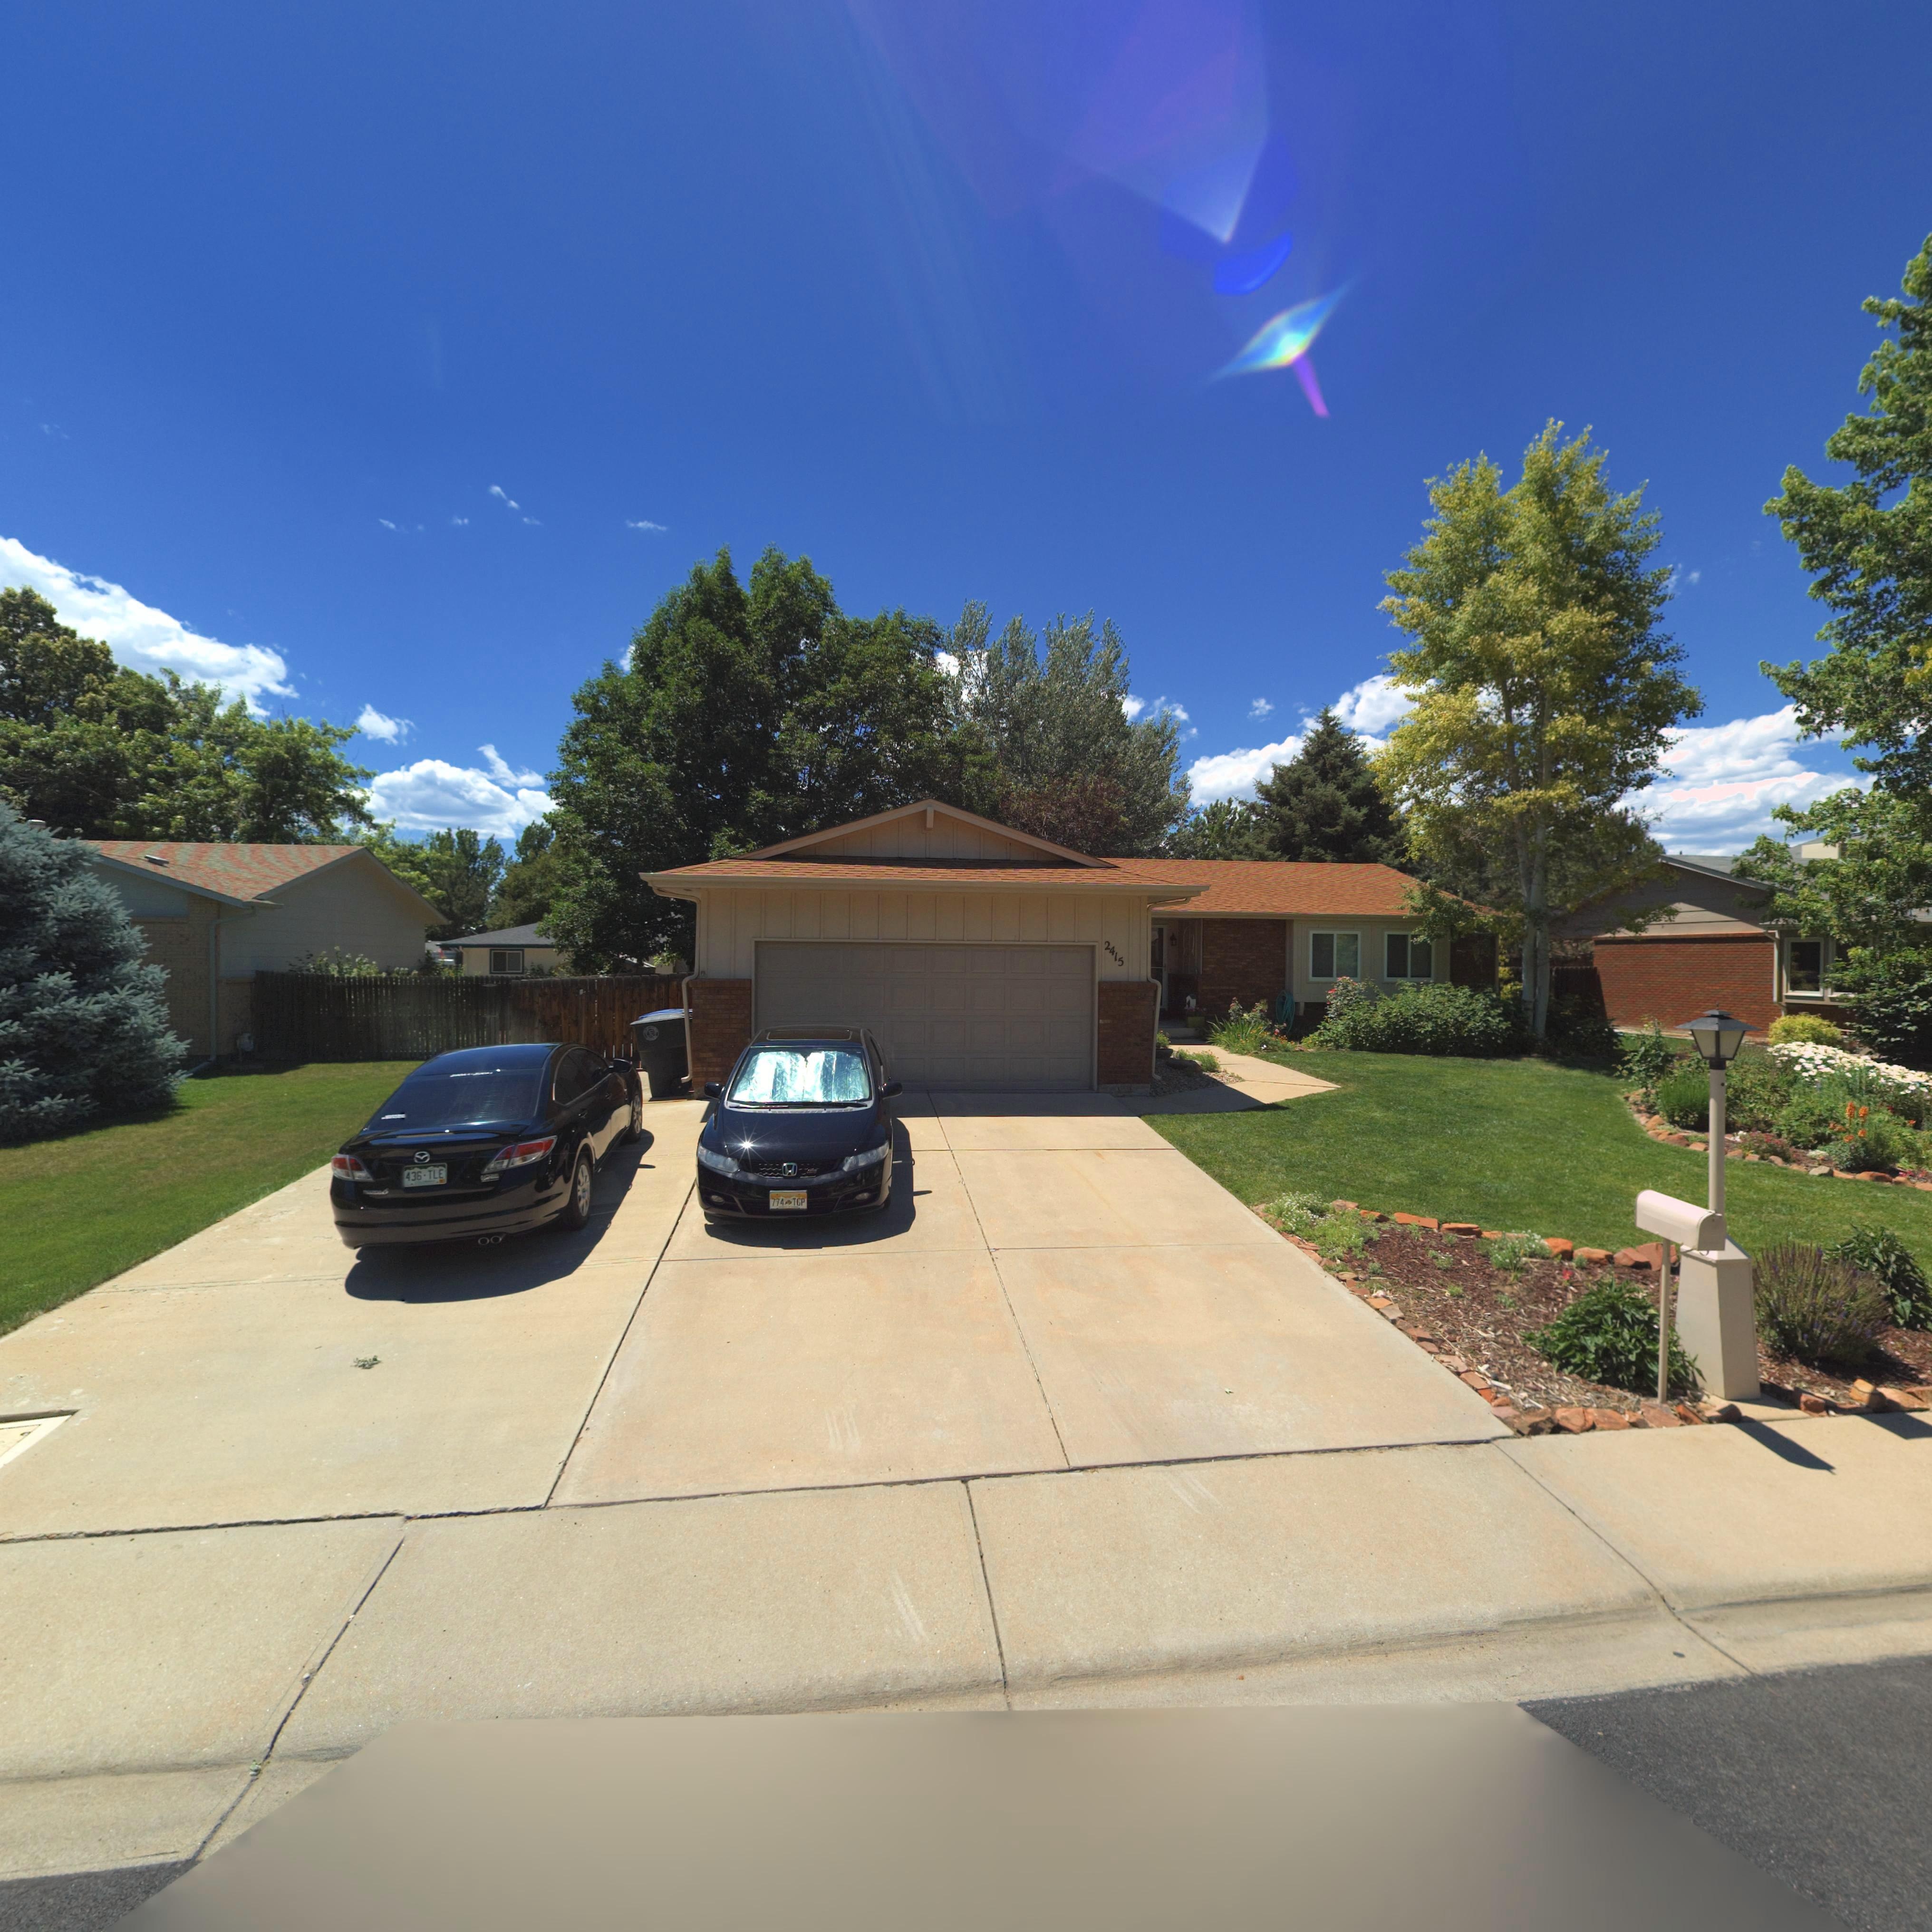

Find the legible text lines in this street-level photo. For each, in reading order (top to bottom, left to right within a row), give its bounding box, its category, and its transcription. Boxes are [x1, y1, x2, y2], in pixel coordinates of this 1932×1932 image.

[1104, 940, 1124, 966] StreetNumber: 2415